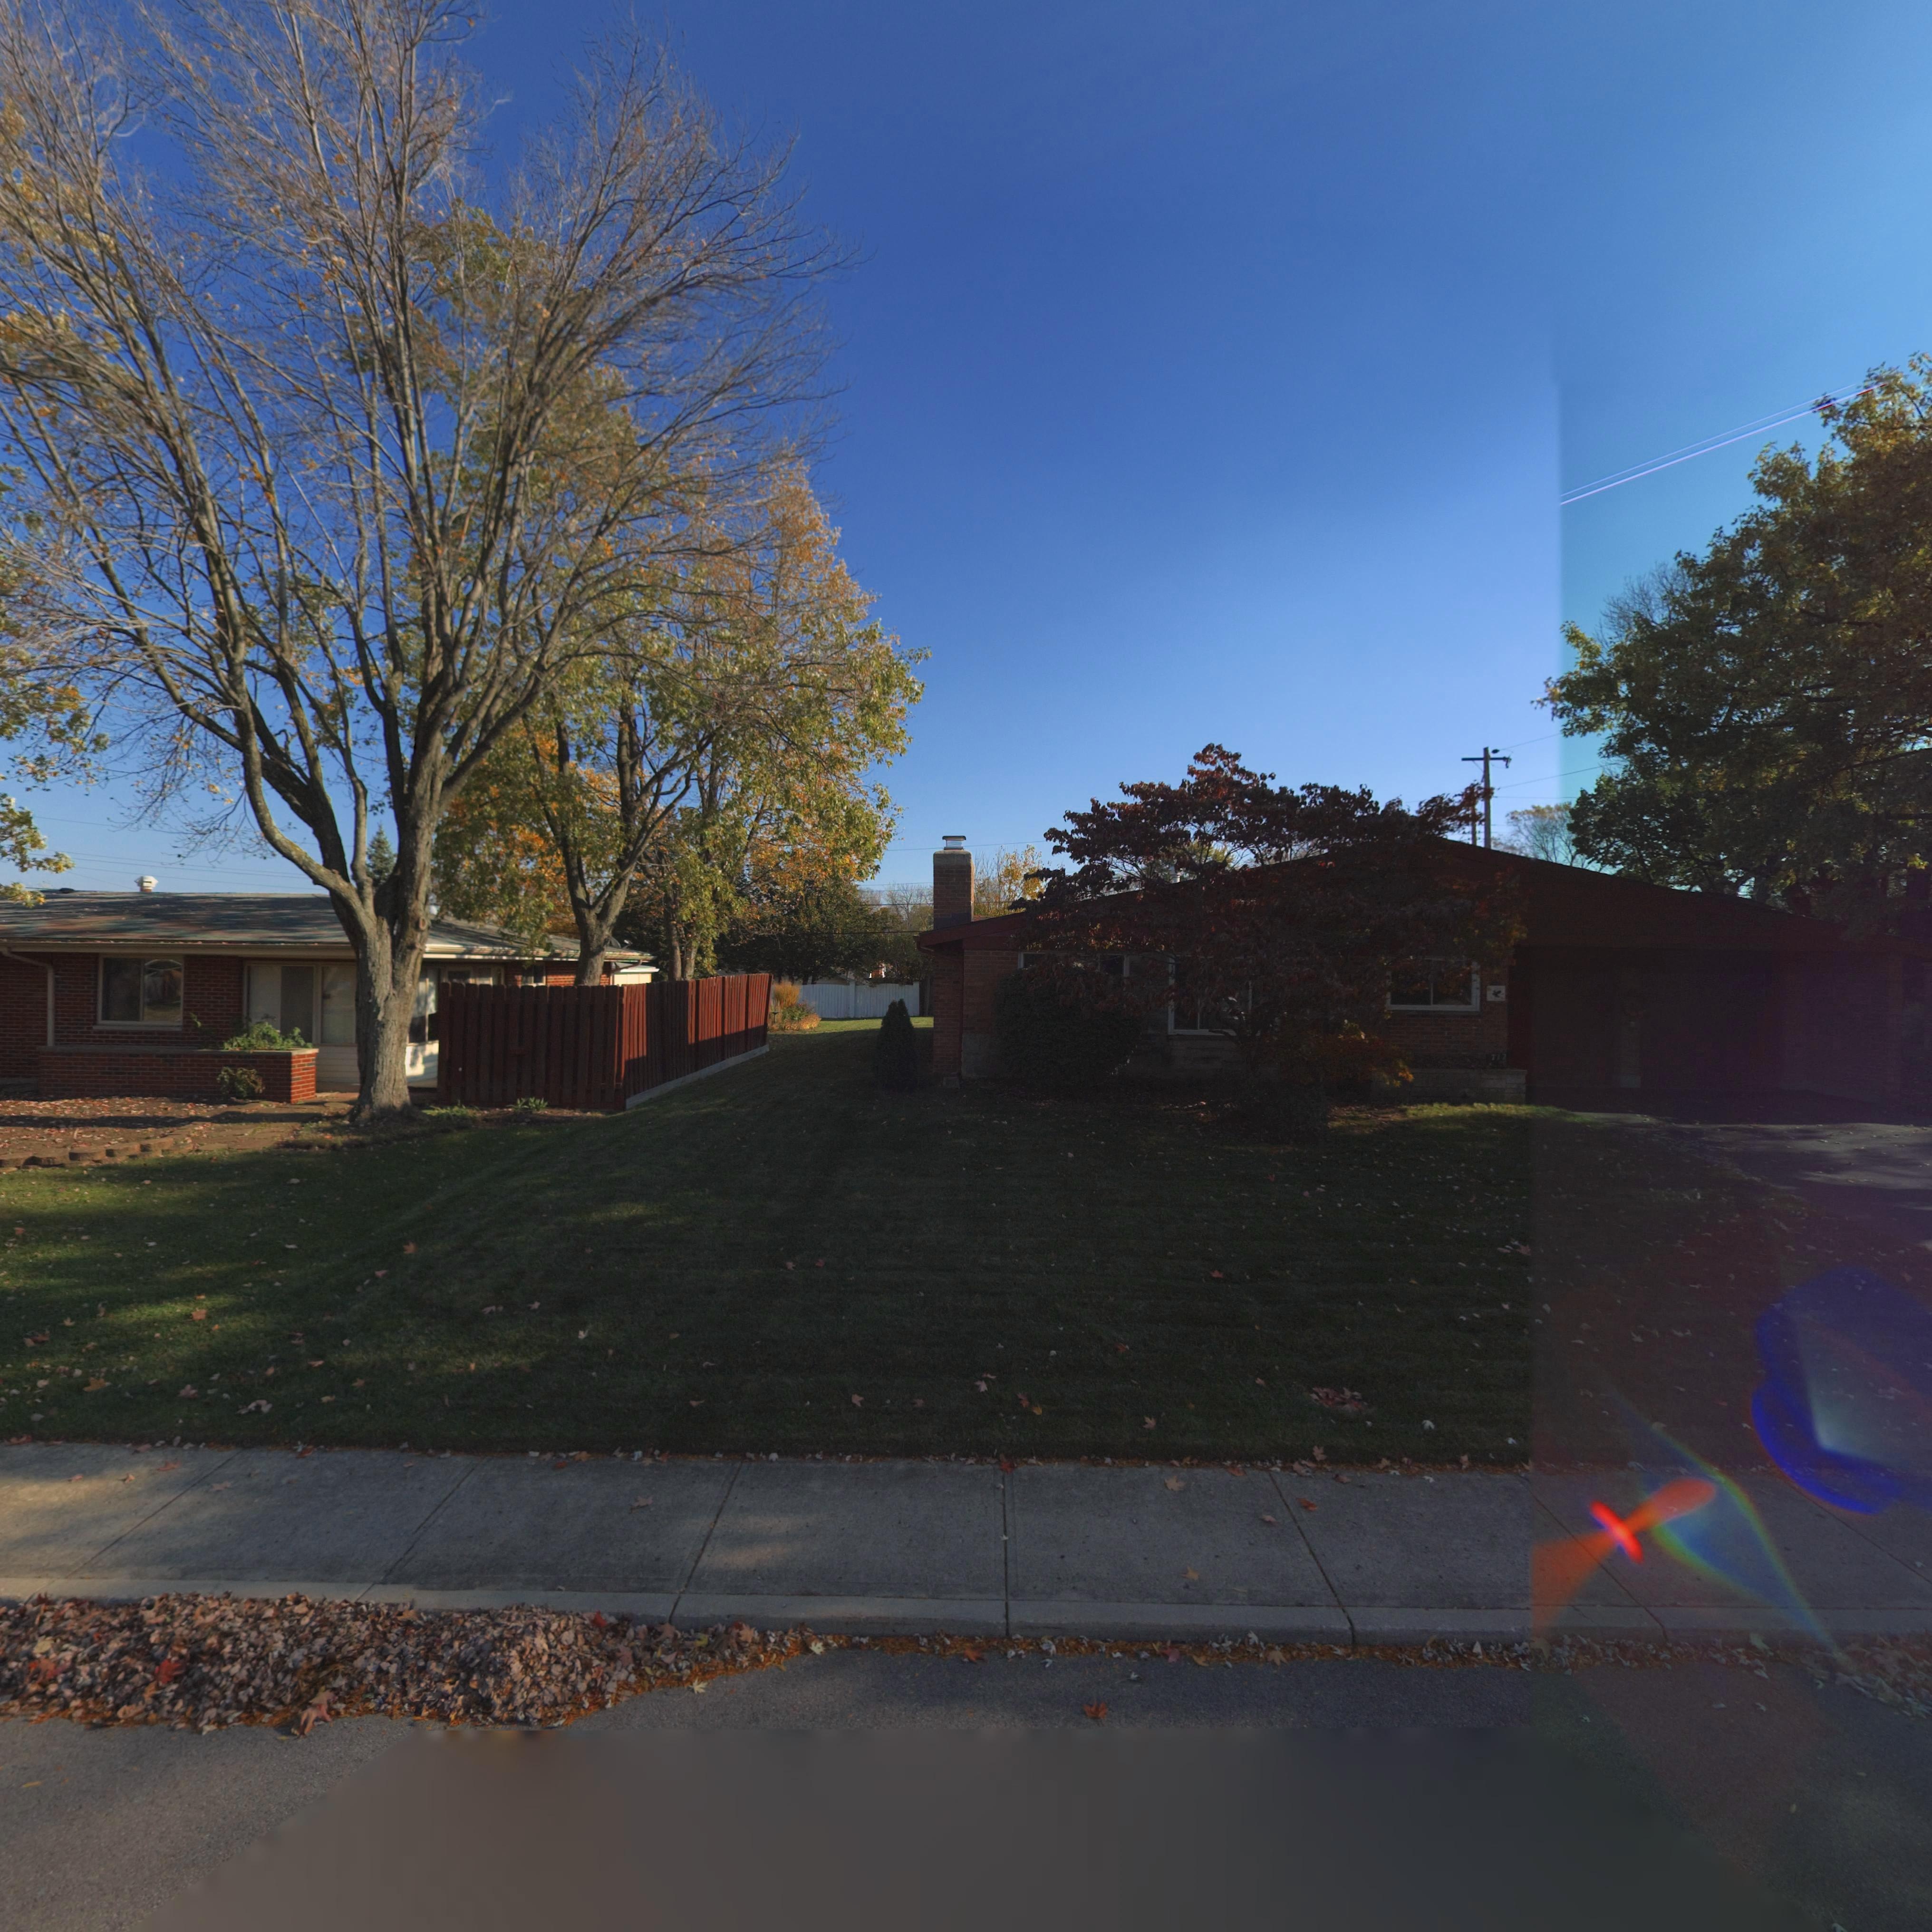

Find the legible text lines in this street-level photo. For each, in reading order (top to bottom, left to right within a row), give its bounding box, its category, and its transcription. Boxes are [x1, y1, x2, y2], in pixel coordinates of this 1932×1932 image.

[1490, 1053, 1507, 1061] StreetNumber: 712